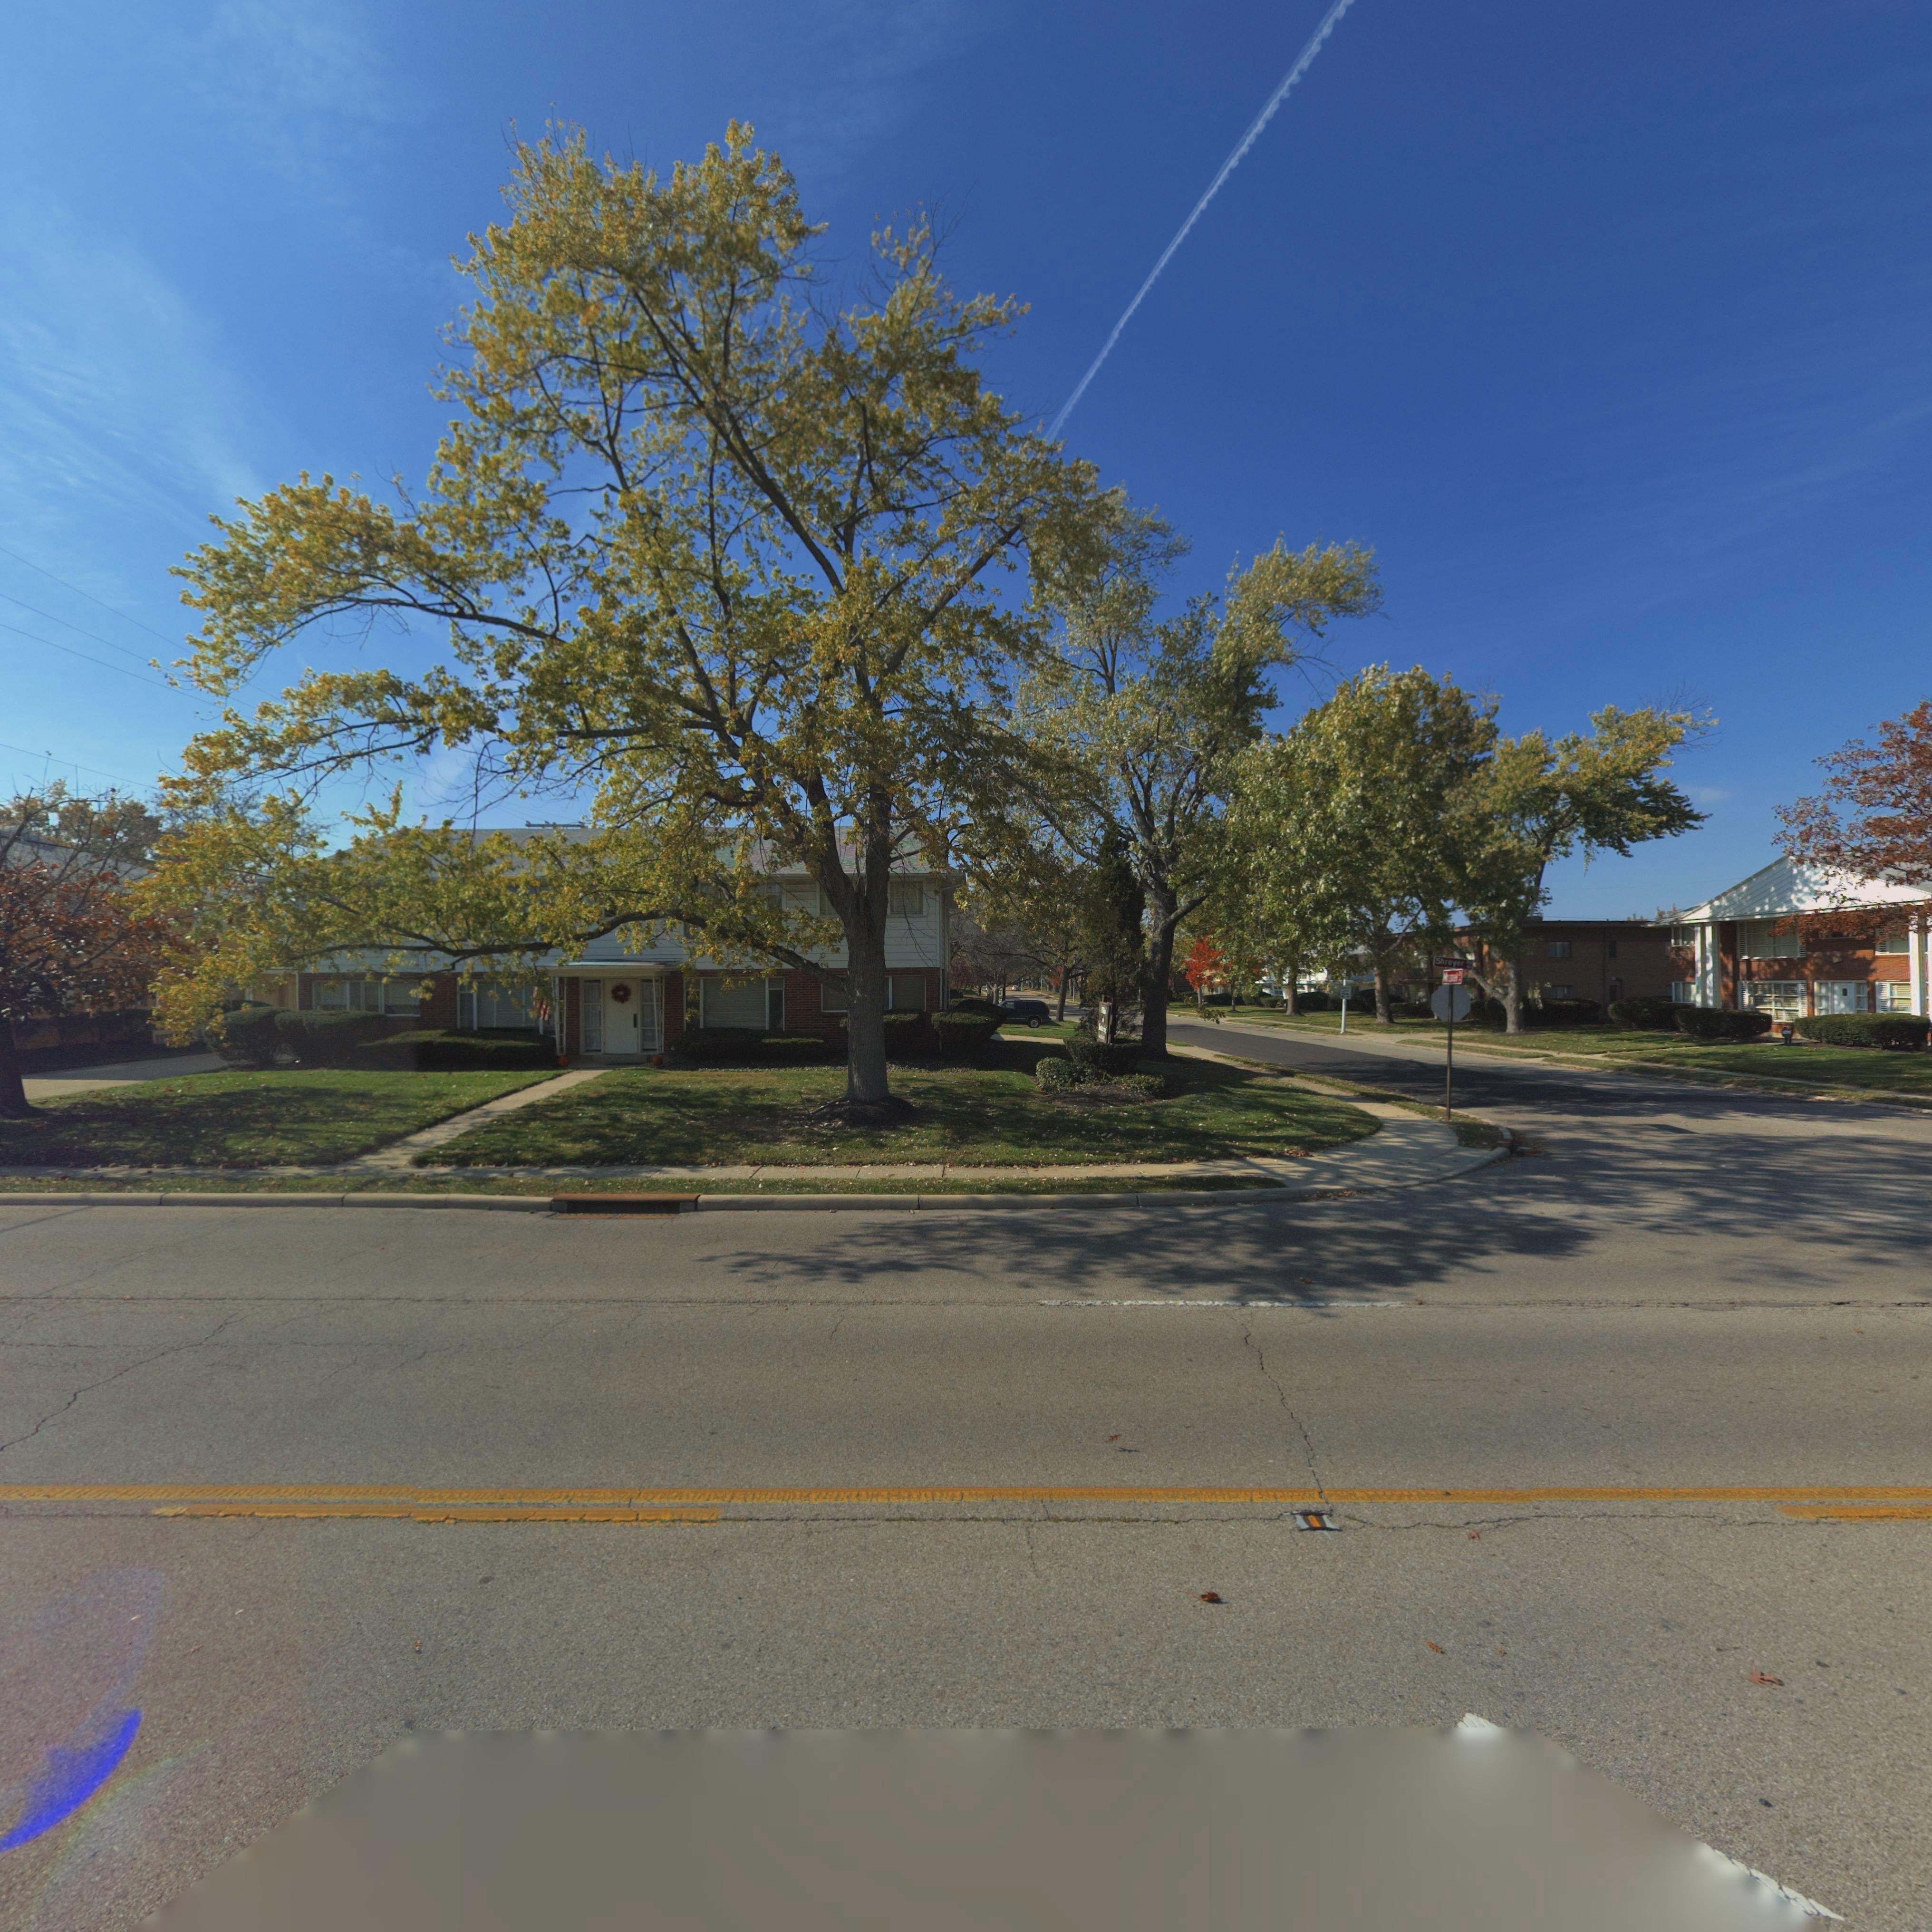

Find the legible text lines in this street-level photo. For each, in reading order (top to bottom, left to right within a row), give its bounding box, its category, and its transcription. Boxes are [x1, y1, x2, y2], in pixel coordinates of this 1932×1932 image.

[1435, 957, 1465, 968] StreetName: Shroyer
[1442, 972, 1449, 983] StreetName: M
[1341, 992, 1350, 998] None: 25